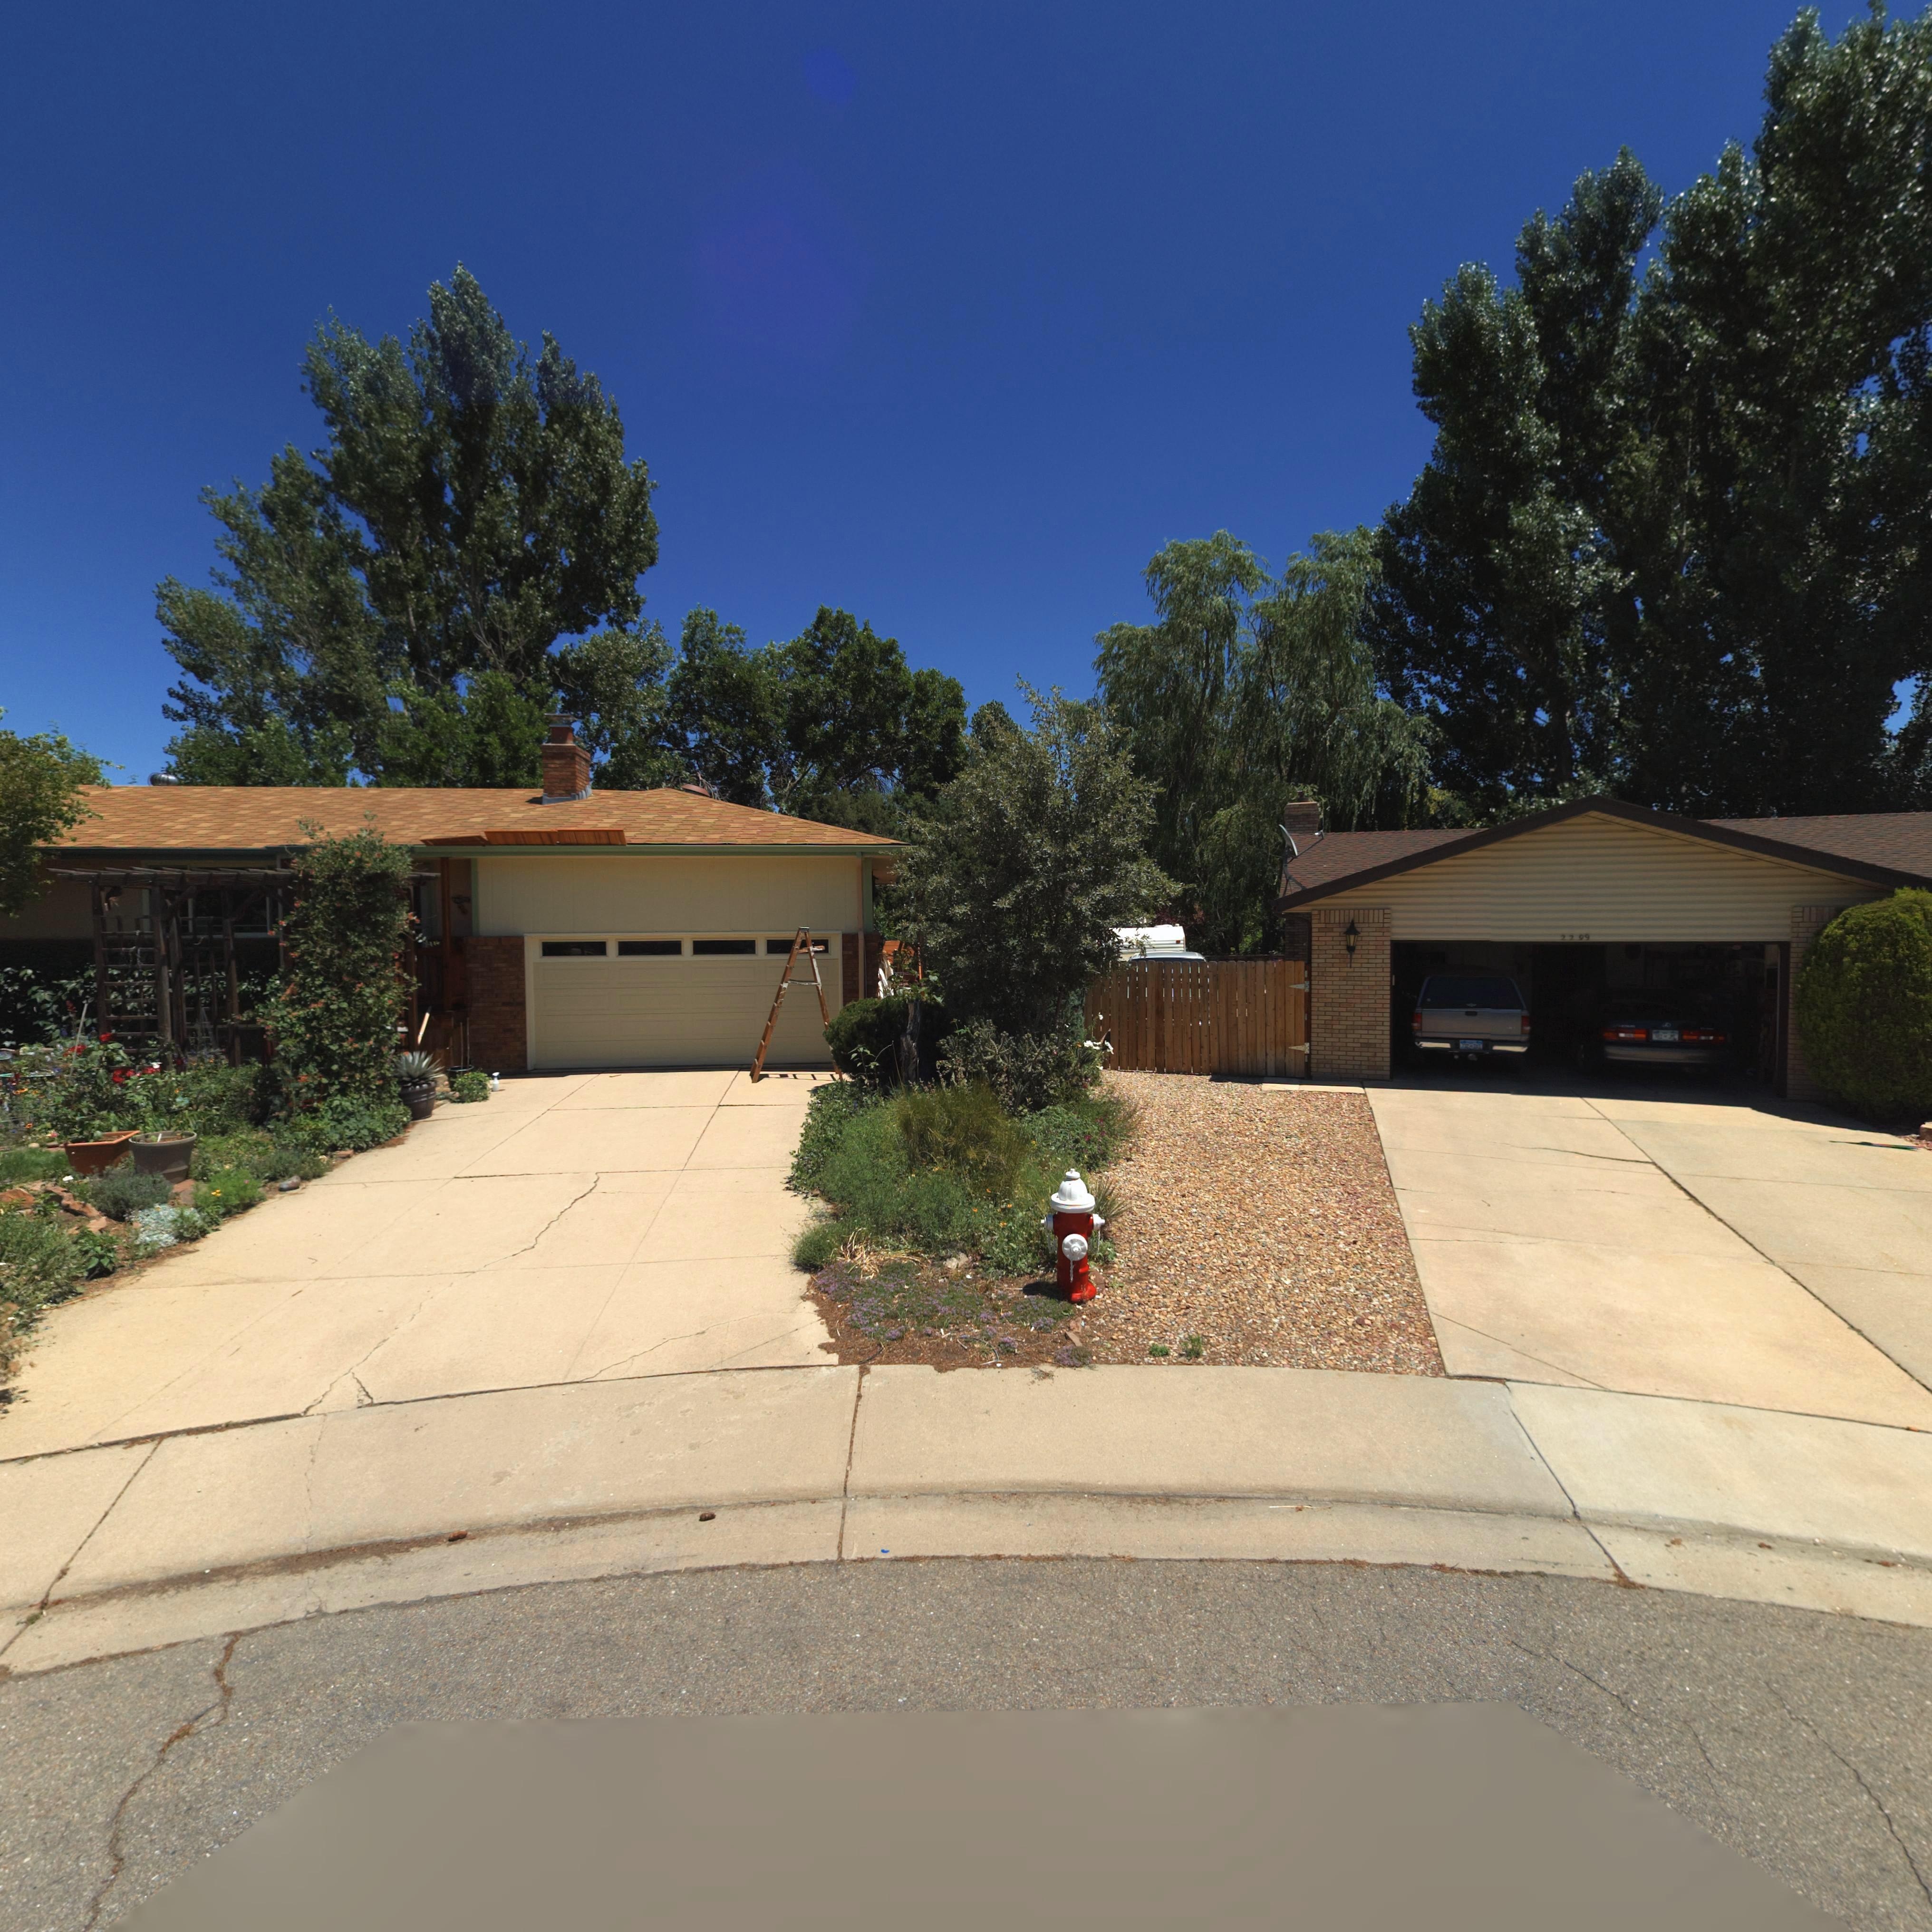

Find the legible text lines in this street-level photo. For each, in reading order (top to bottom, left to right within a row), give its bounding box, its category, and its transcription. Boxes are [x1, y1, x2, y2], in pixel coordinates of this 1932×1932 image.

[1560, 934, 1590, 940] StreetNumber: 2299